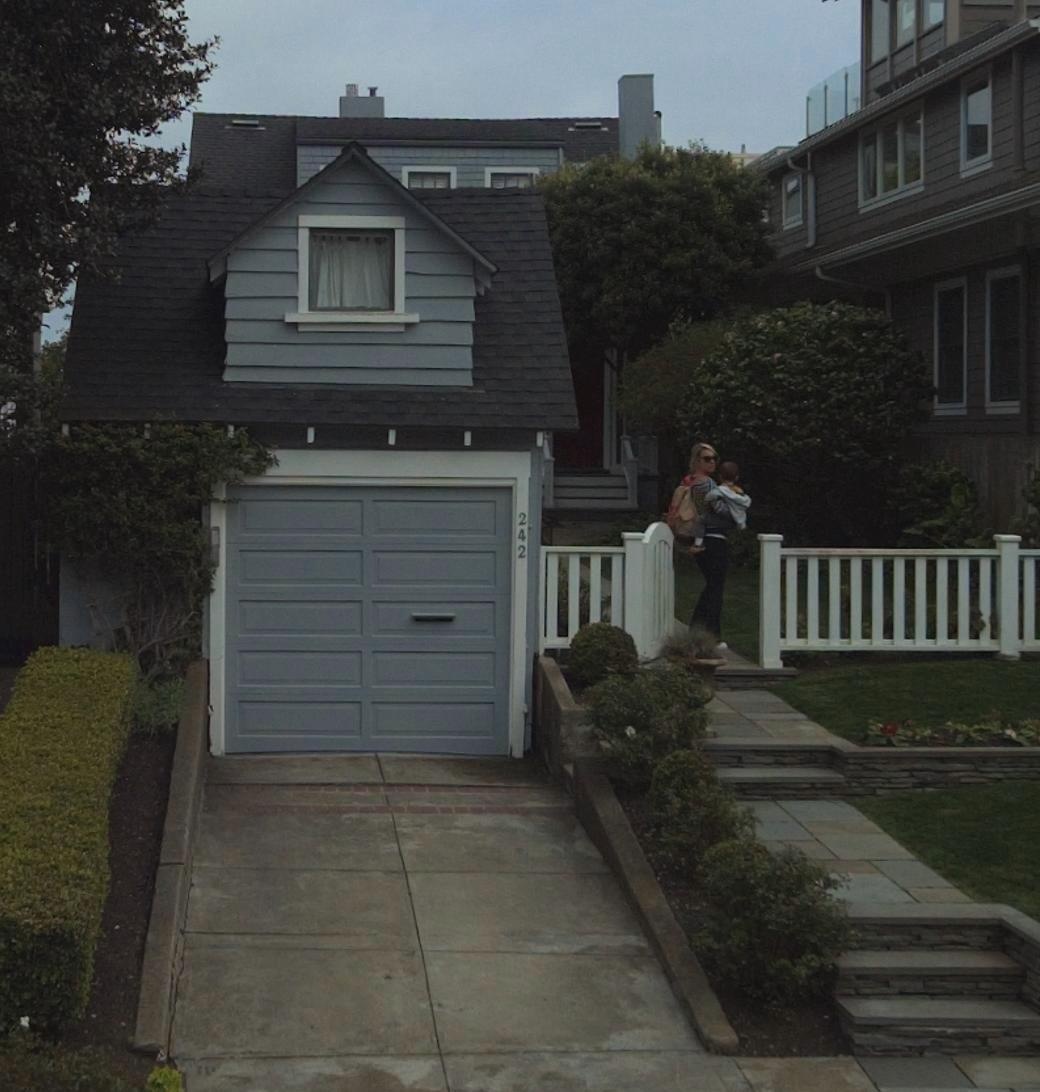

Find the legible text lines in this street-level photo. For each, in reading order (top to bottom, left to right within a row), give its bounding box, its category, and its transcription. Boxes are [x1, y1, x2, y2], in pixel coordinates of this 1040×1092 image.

[517, 510, 528, 559] StreetNumber: 242